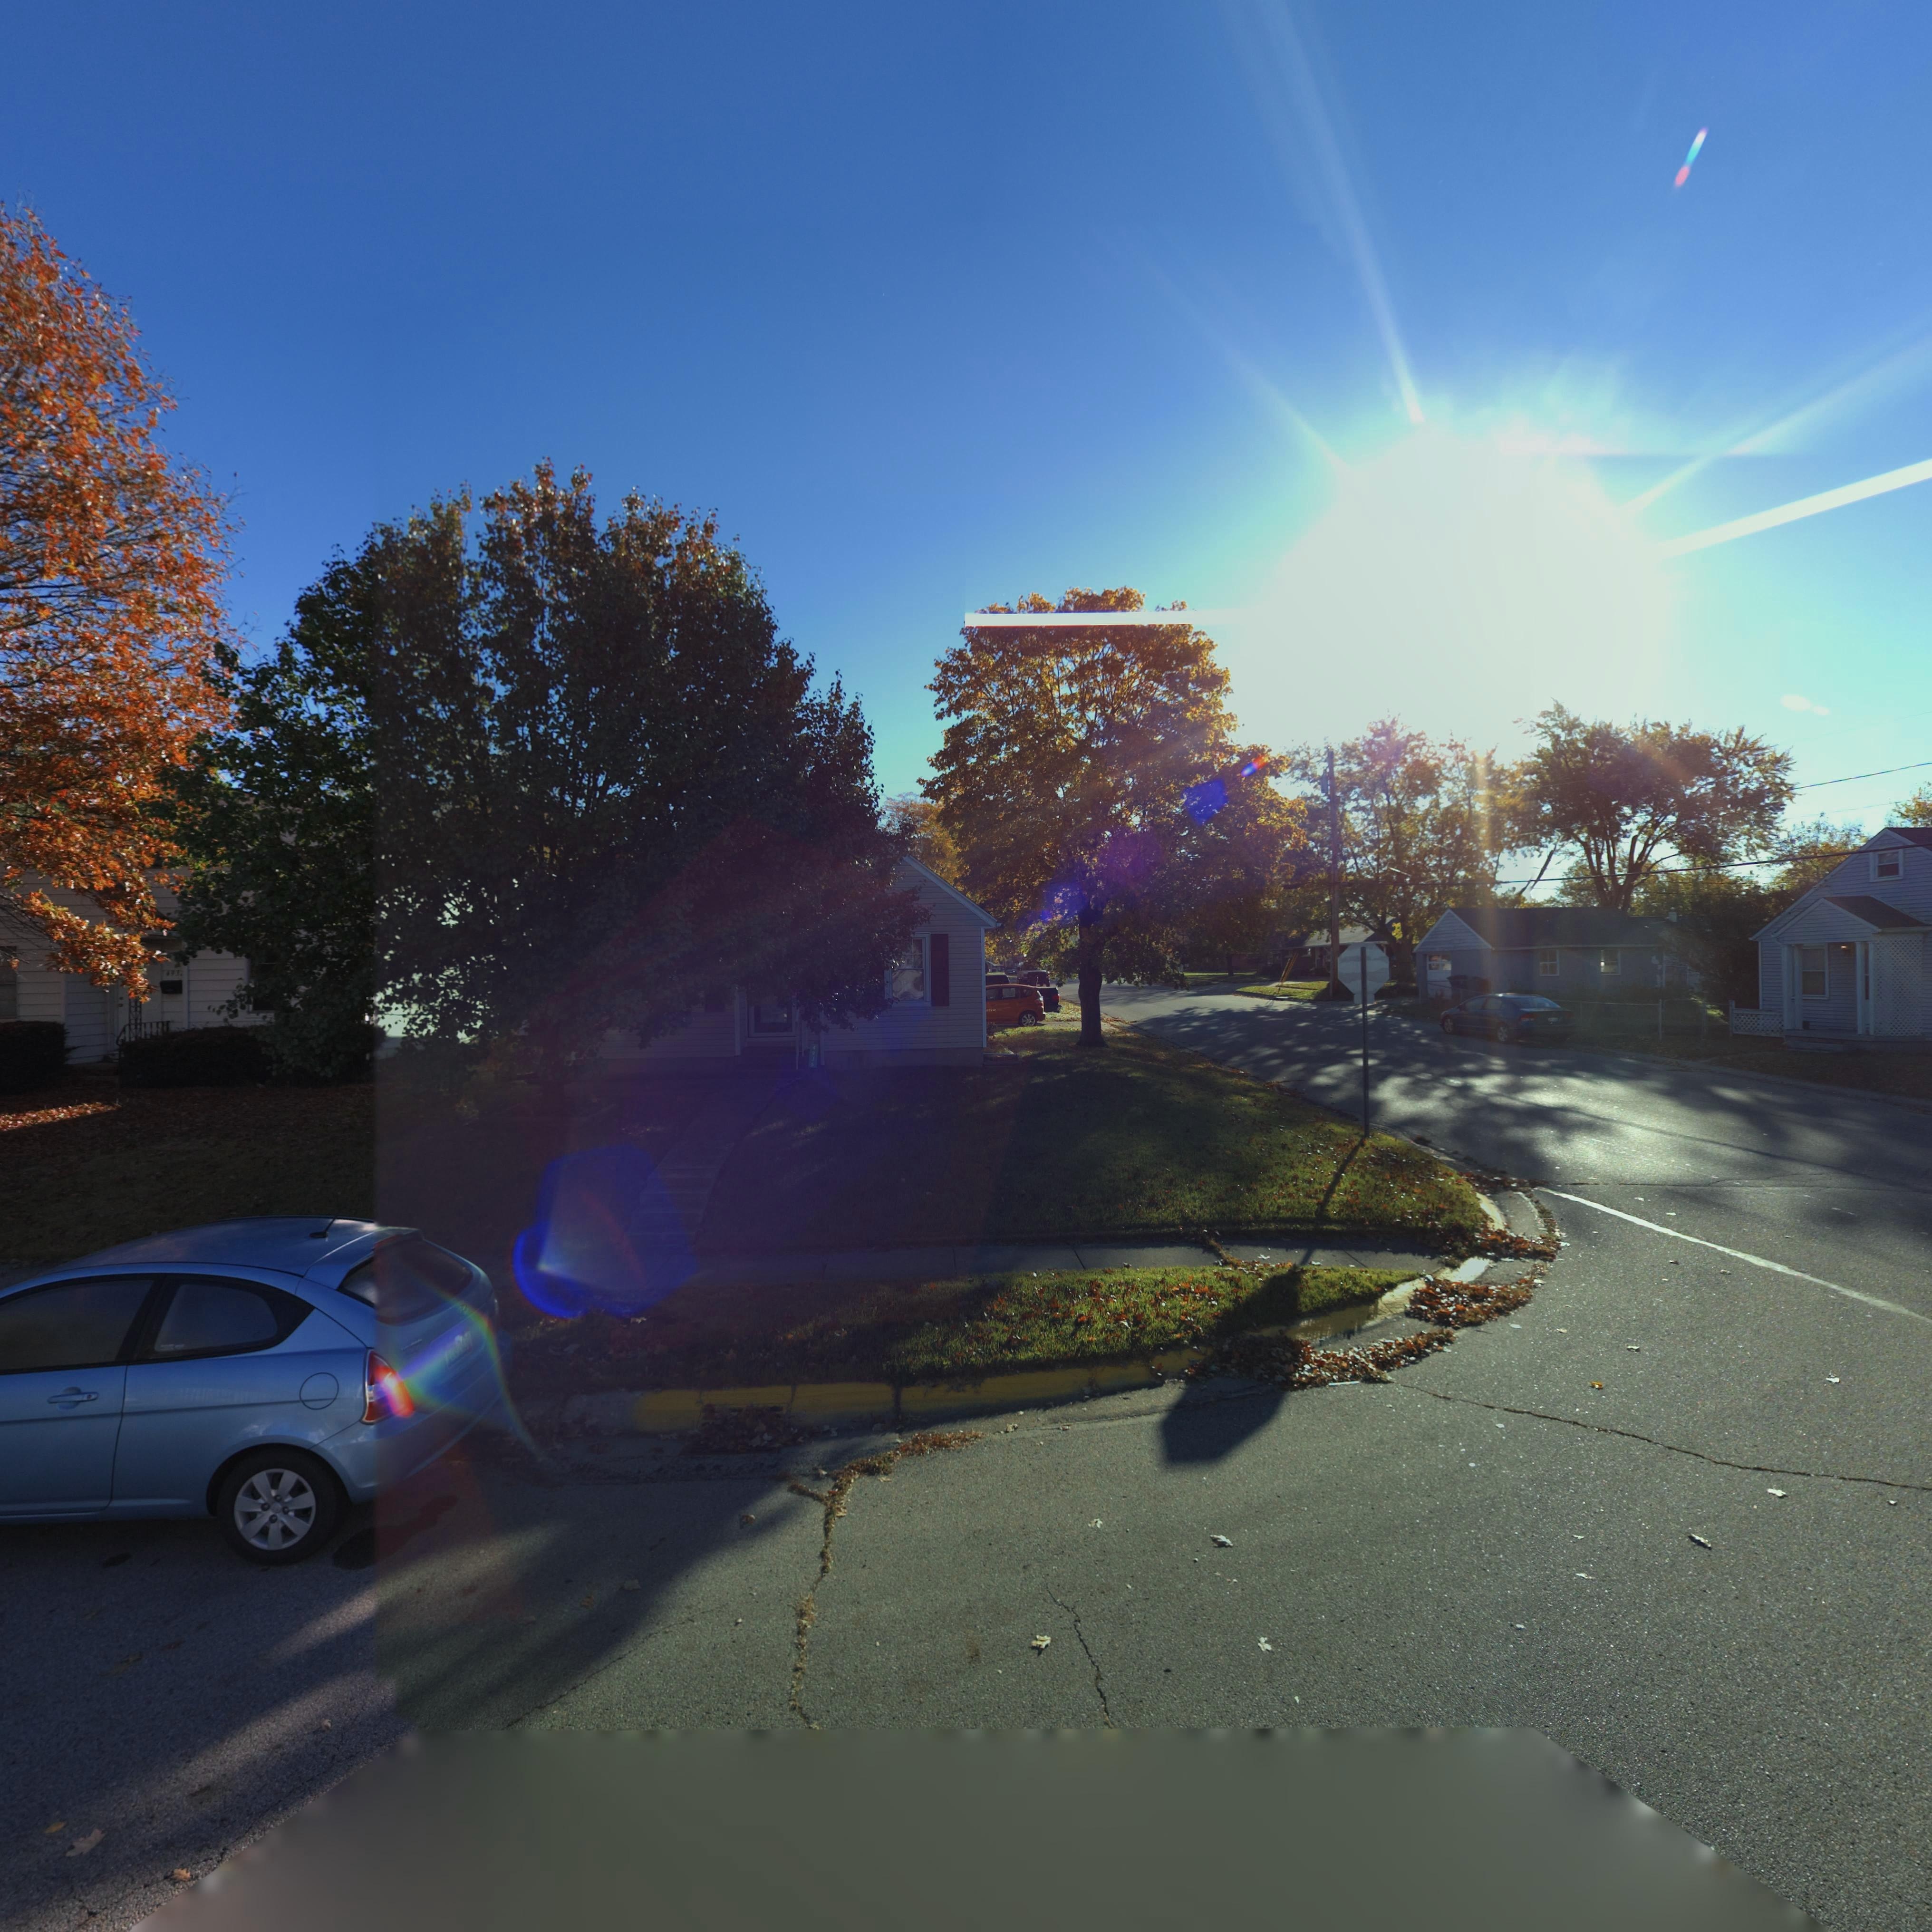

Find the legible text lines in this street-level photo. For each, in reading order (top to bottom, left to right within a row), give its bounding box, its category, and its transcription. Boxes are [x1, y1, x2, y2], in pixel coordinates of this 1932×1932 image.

[165, 969, 181, 977] StreetNumber: 493
[810, 1045, 817, 1067] StreetNumber: 4936